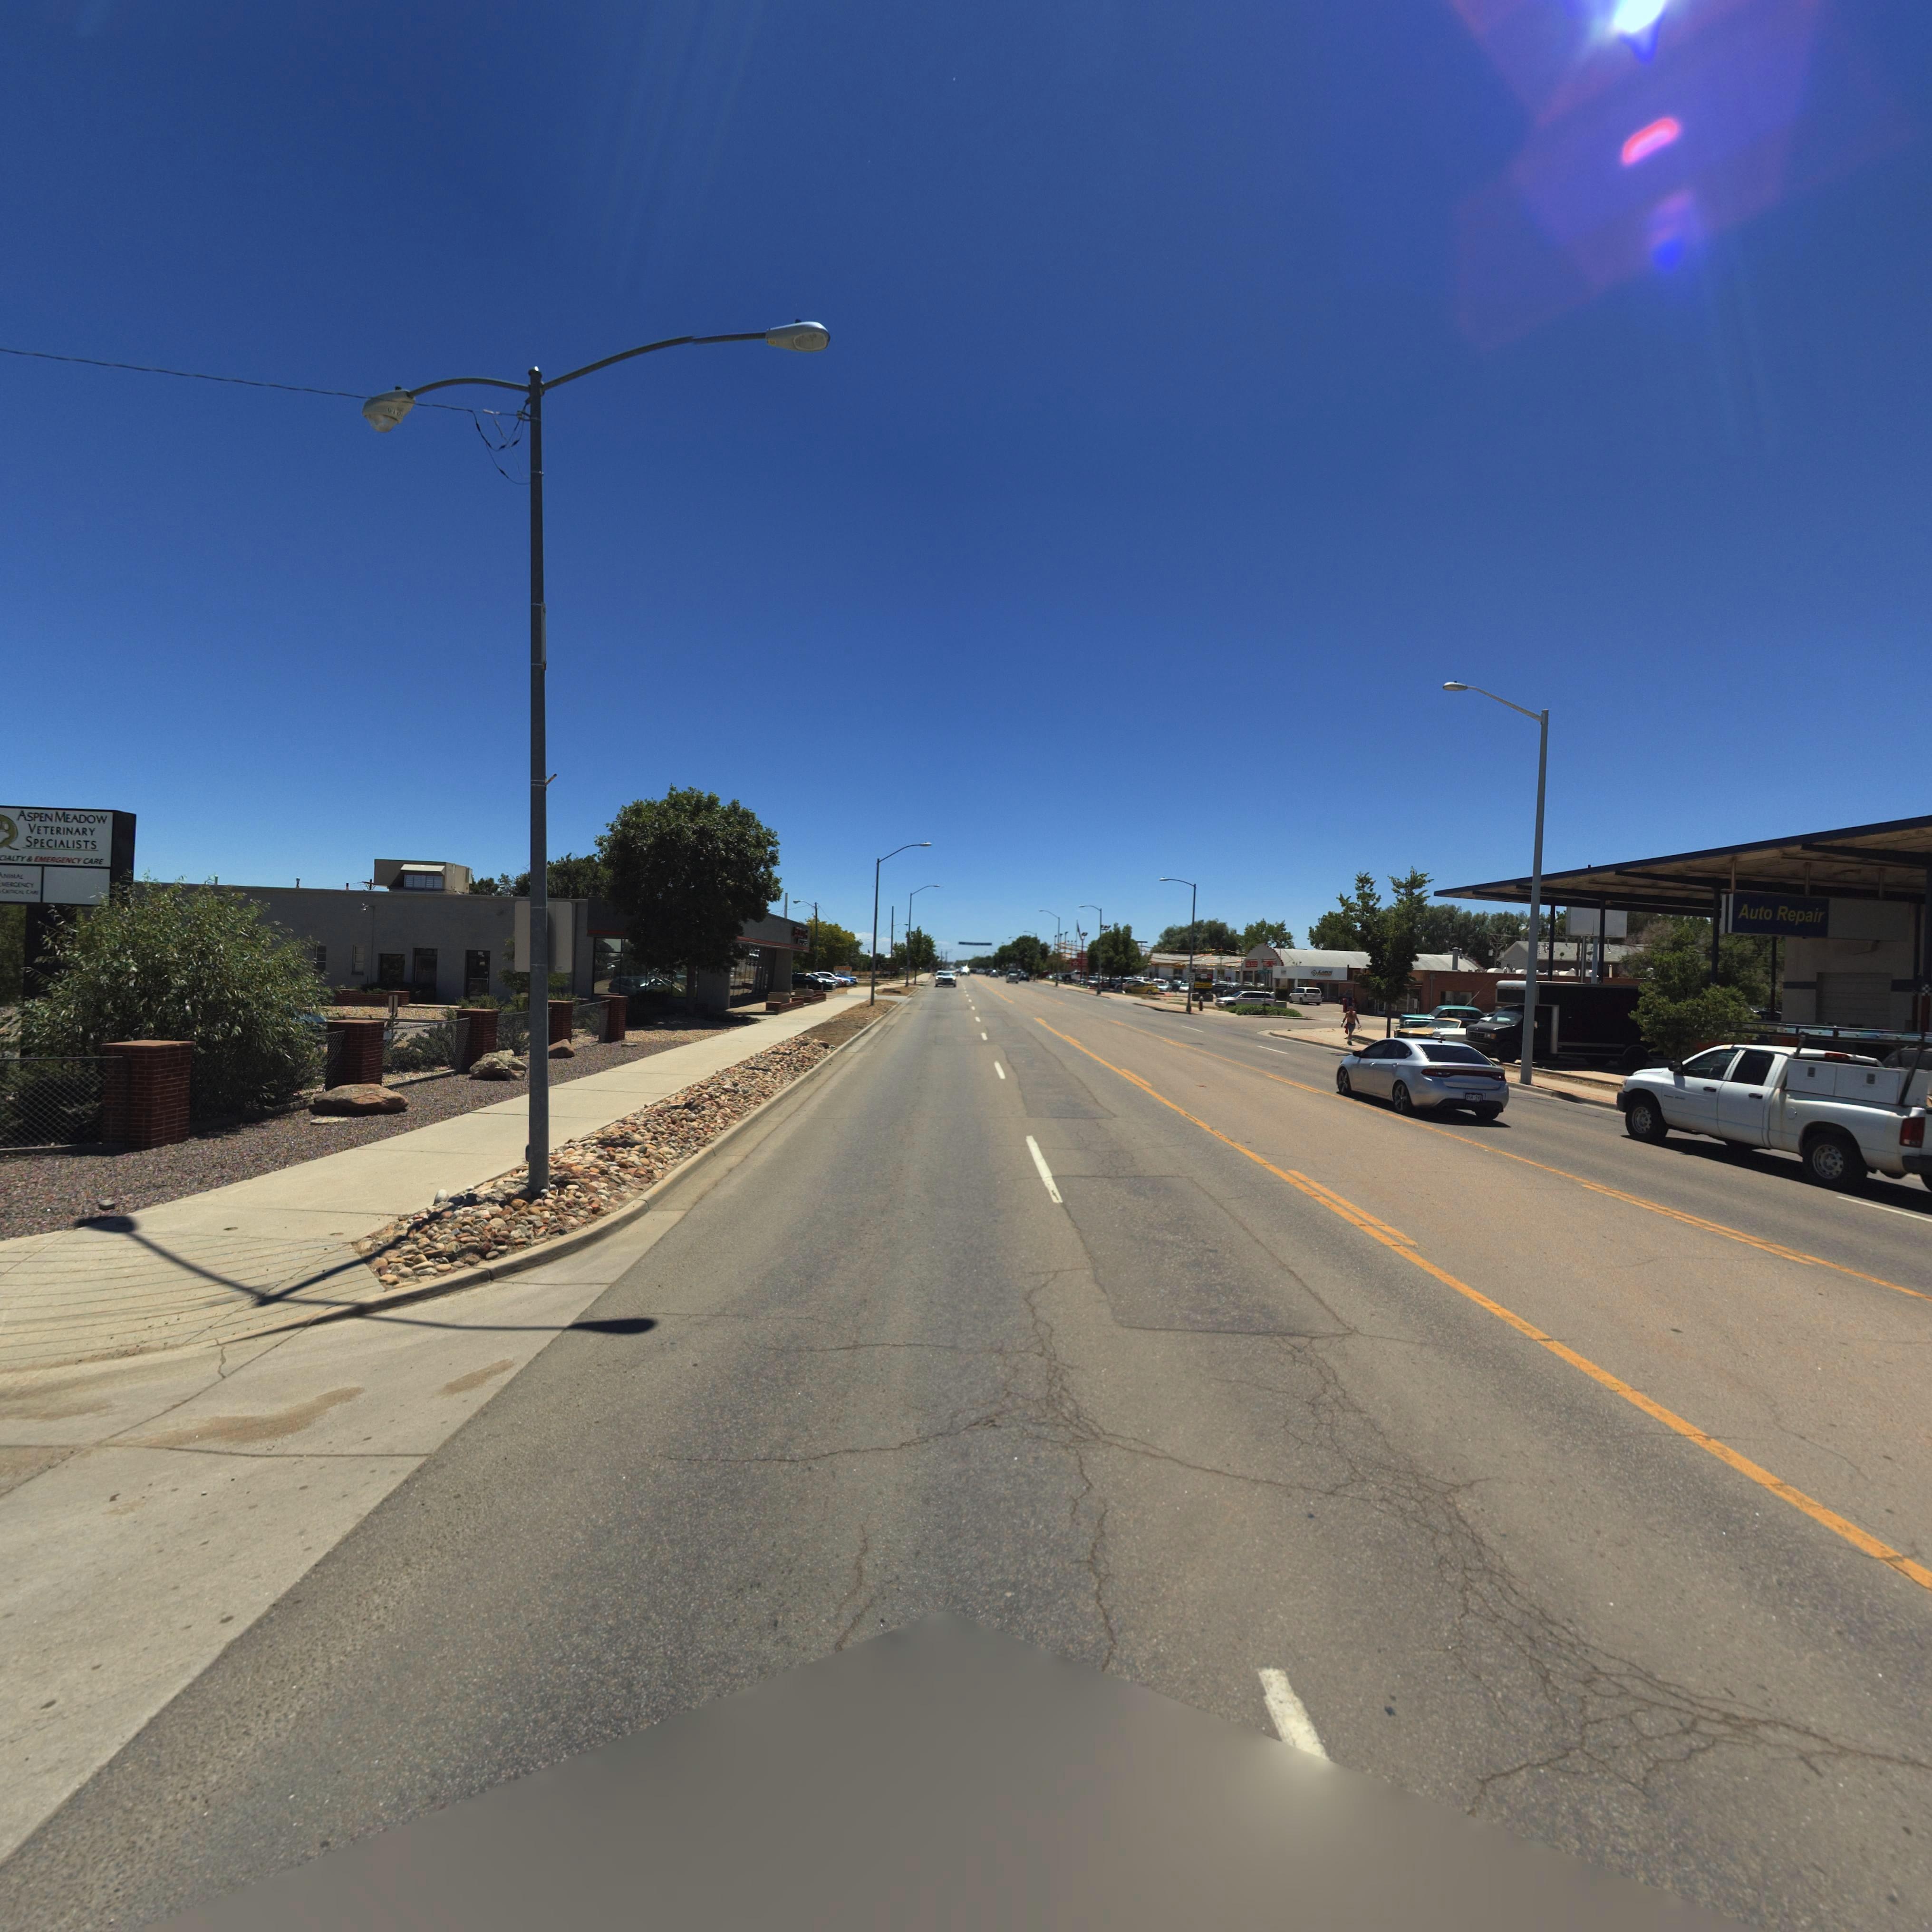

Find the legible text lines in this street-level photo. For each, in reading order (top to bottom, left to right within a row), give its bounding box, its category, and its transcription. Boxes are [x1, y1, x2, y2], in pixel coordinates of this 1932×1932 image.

[16, 809, 108, 824] BusinessName: ASPEN MEADOW
[27, 823, 97, 836] BusinessName: VETERINARY
[25, 835, 97, 850] BusinessName: SPECIALISTS
[793, 926, 809, 939] BusinessName: BOO**
[834, 966, 851, 970] BusinessName: *A****
[1316, 972, 1332, 976] BusinessName: F******
[1318, 969, 1333, 974] BusinessName: LA*O*